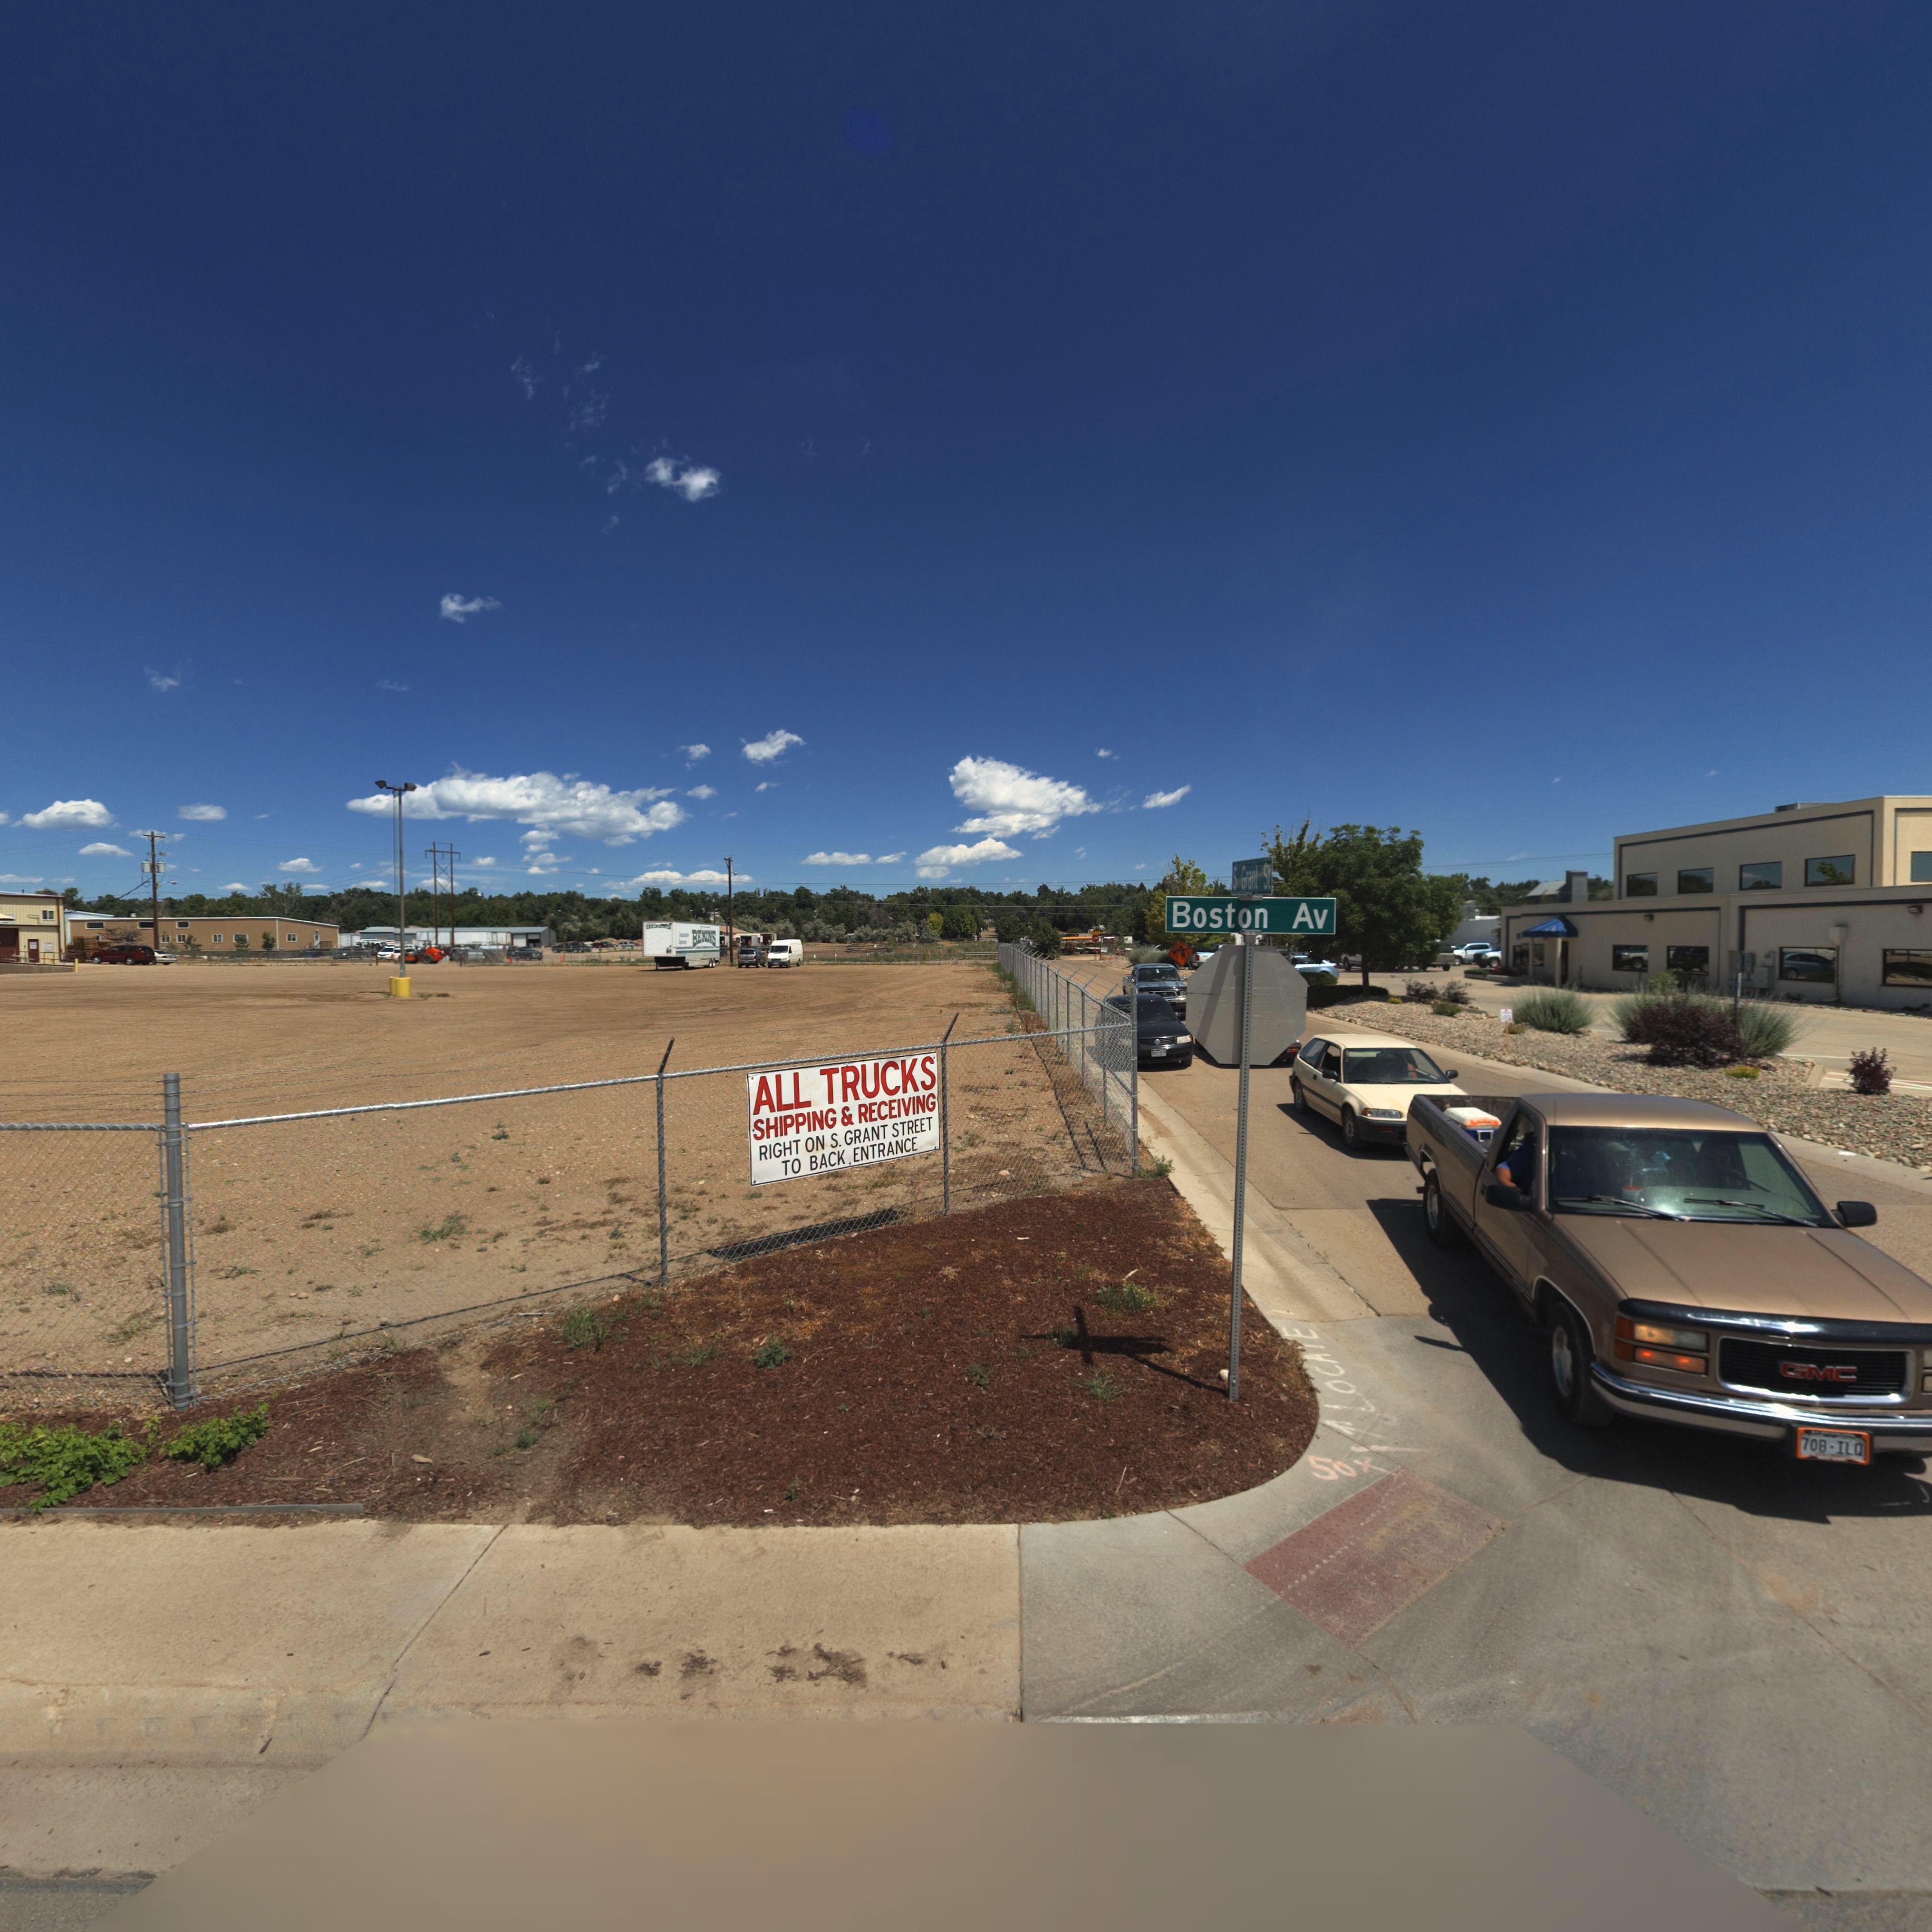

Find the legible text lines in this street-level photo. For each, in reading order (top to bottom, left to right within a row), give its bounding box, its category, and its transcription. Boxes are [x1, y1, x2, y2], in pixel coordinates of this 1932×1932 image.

[1232, 861, 1272, 890] StreetName: S Grant St
[1170, 900, 1330, 930] StreetName: Boston Av